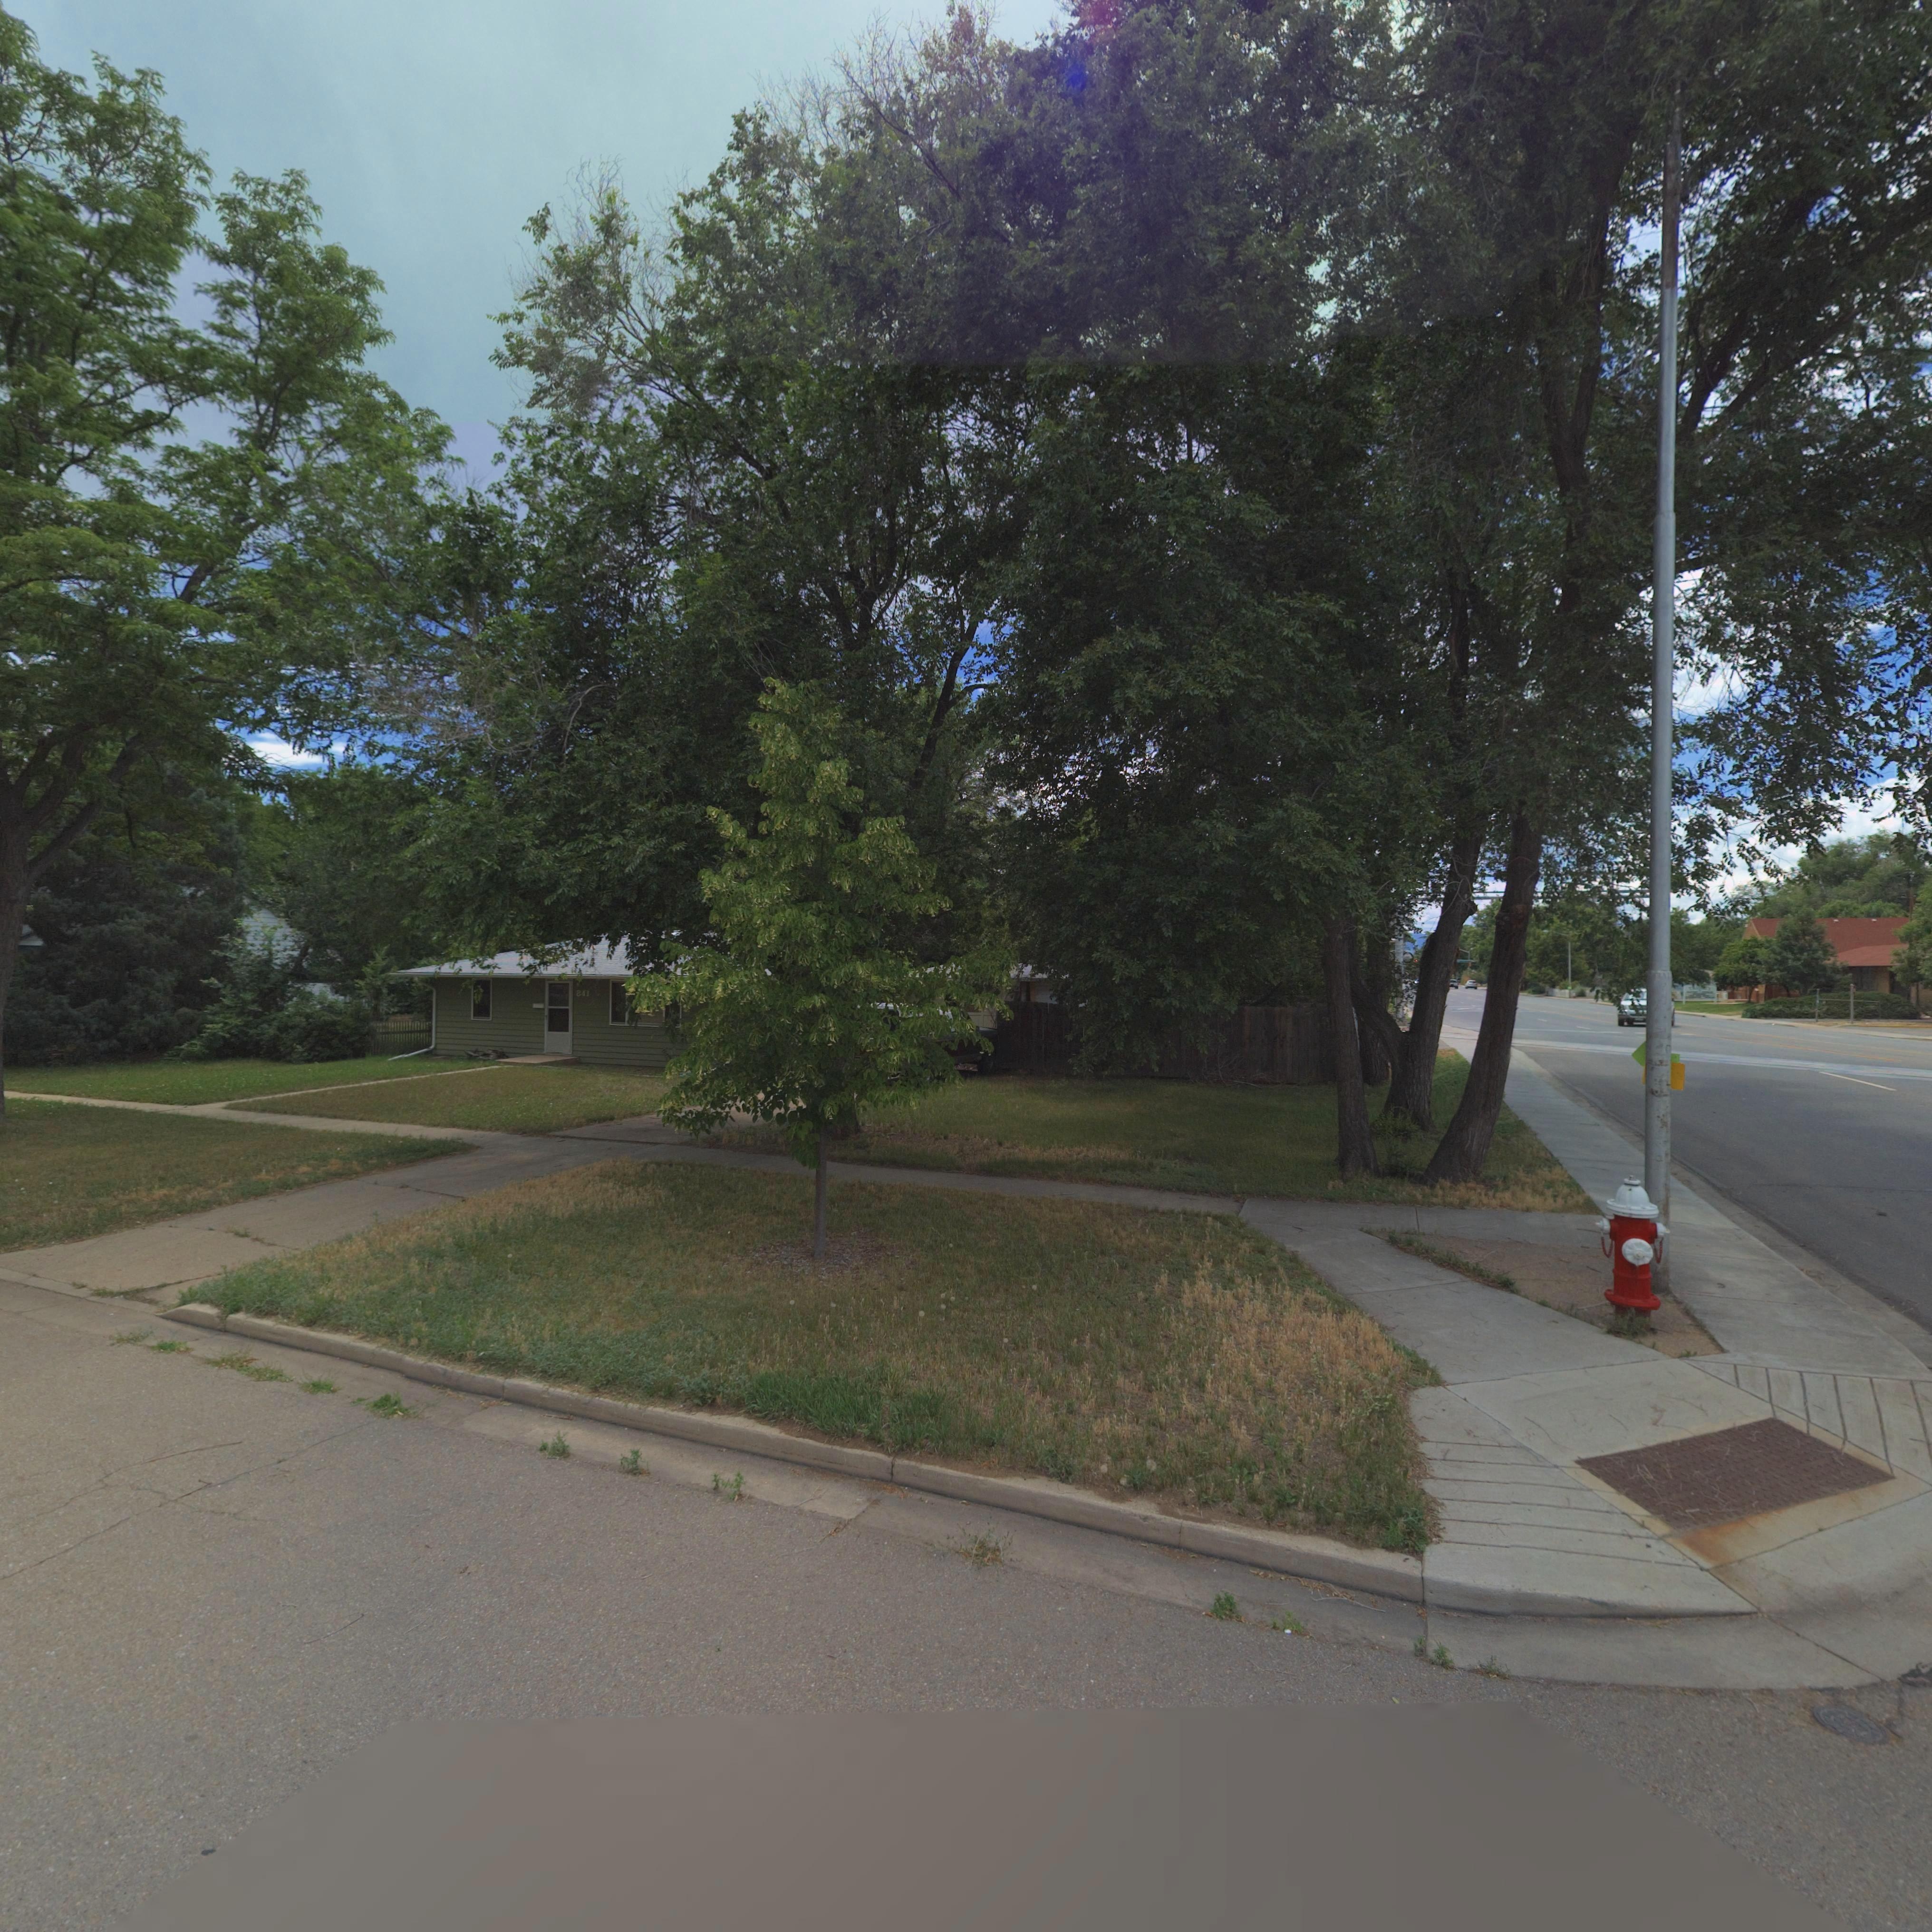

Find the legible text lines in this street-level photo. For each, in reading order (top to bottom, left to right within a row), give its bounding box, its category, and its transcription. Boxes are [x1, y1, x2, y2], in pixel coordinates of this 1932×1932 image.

[575, 989, 590, 997] StreetNumber: 841